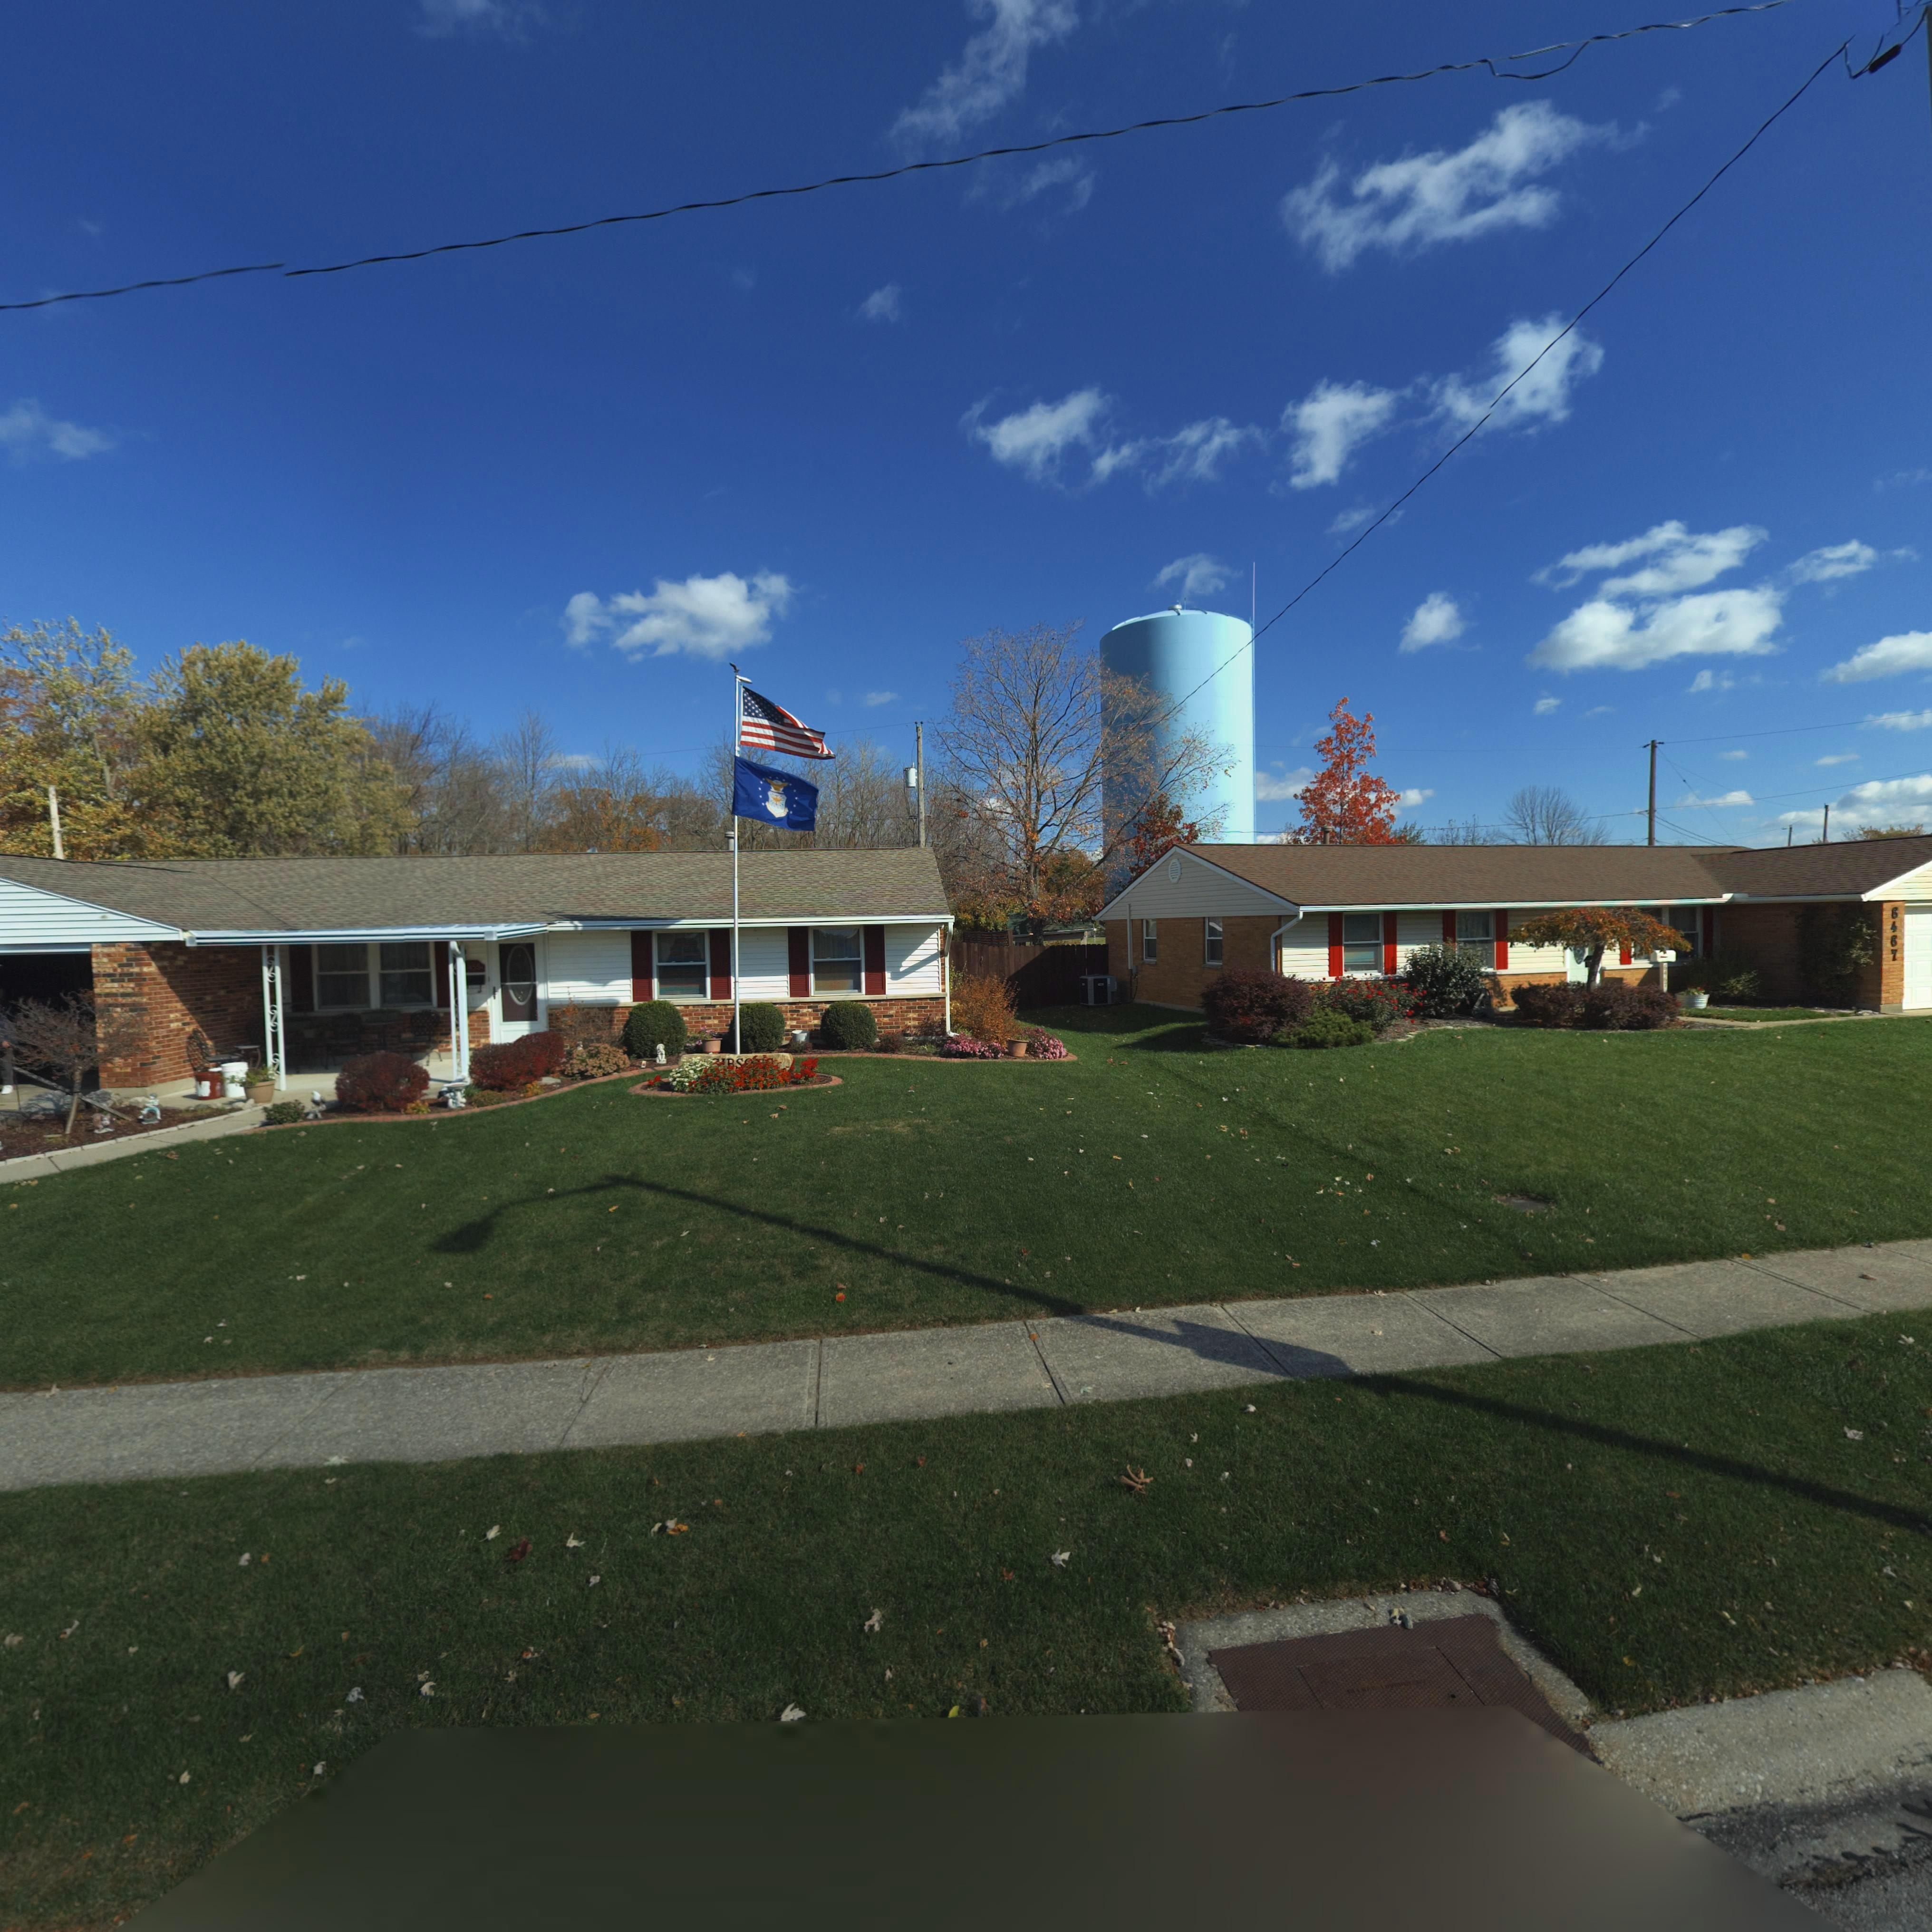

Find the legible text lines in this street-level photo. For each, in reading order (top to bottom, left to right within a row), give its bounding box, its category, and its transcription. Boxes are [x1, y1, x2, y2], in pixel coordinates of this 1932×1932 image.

[1890, 906, 1898, 962] StreetNumber: 6467
[467, 962, 481, 971] StreetNumber: 4*8
[1663, 965, 1668, 988] StreetNumber: 6467